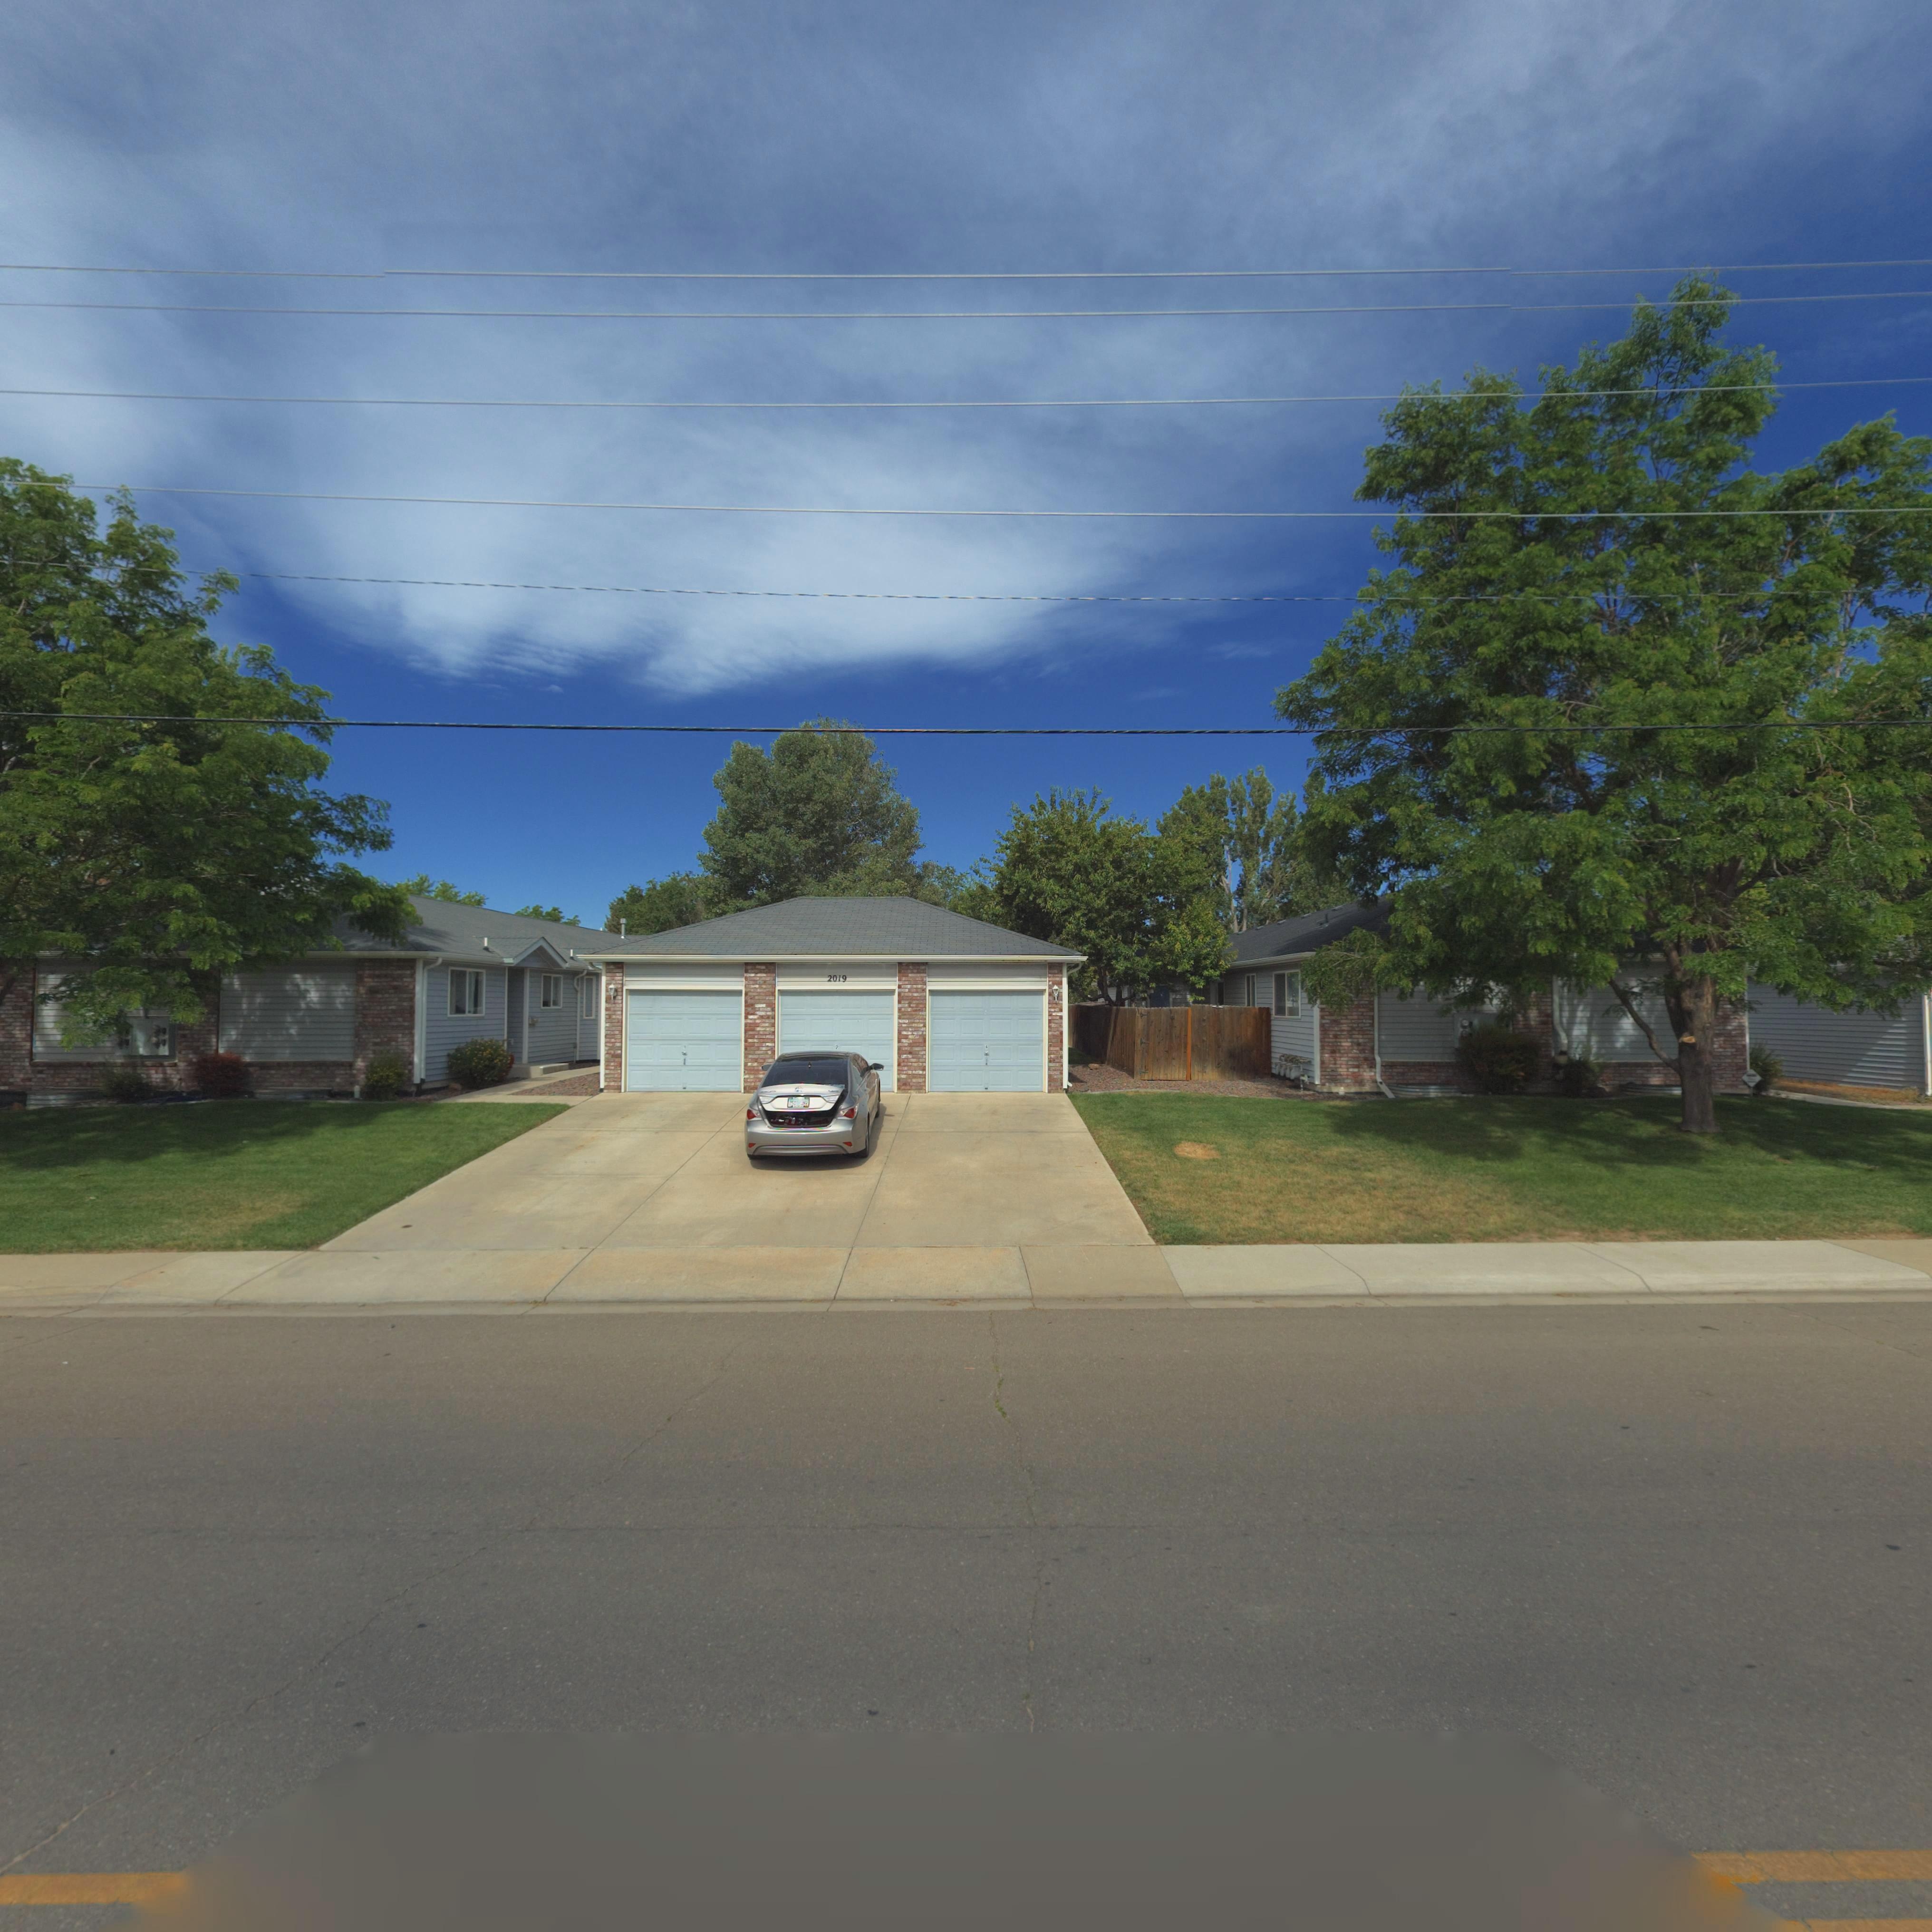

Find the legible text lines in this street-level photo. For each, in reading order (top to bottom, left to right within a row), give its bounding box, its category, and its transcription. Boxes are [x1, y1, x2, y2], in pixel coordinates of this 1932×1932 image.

[826, 974, 847, 983] StreetNumber: 2019